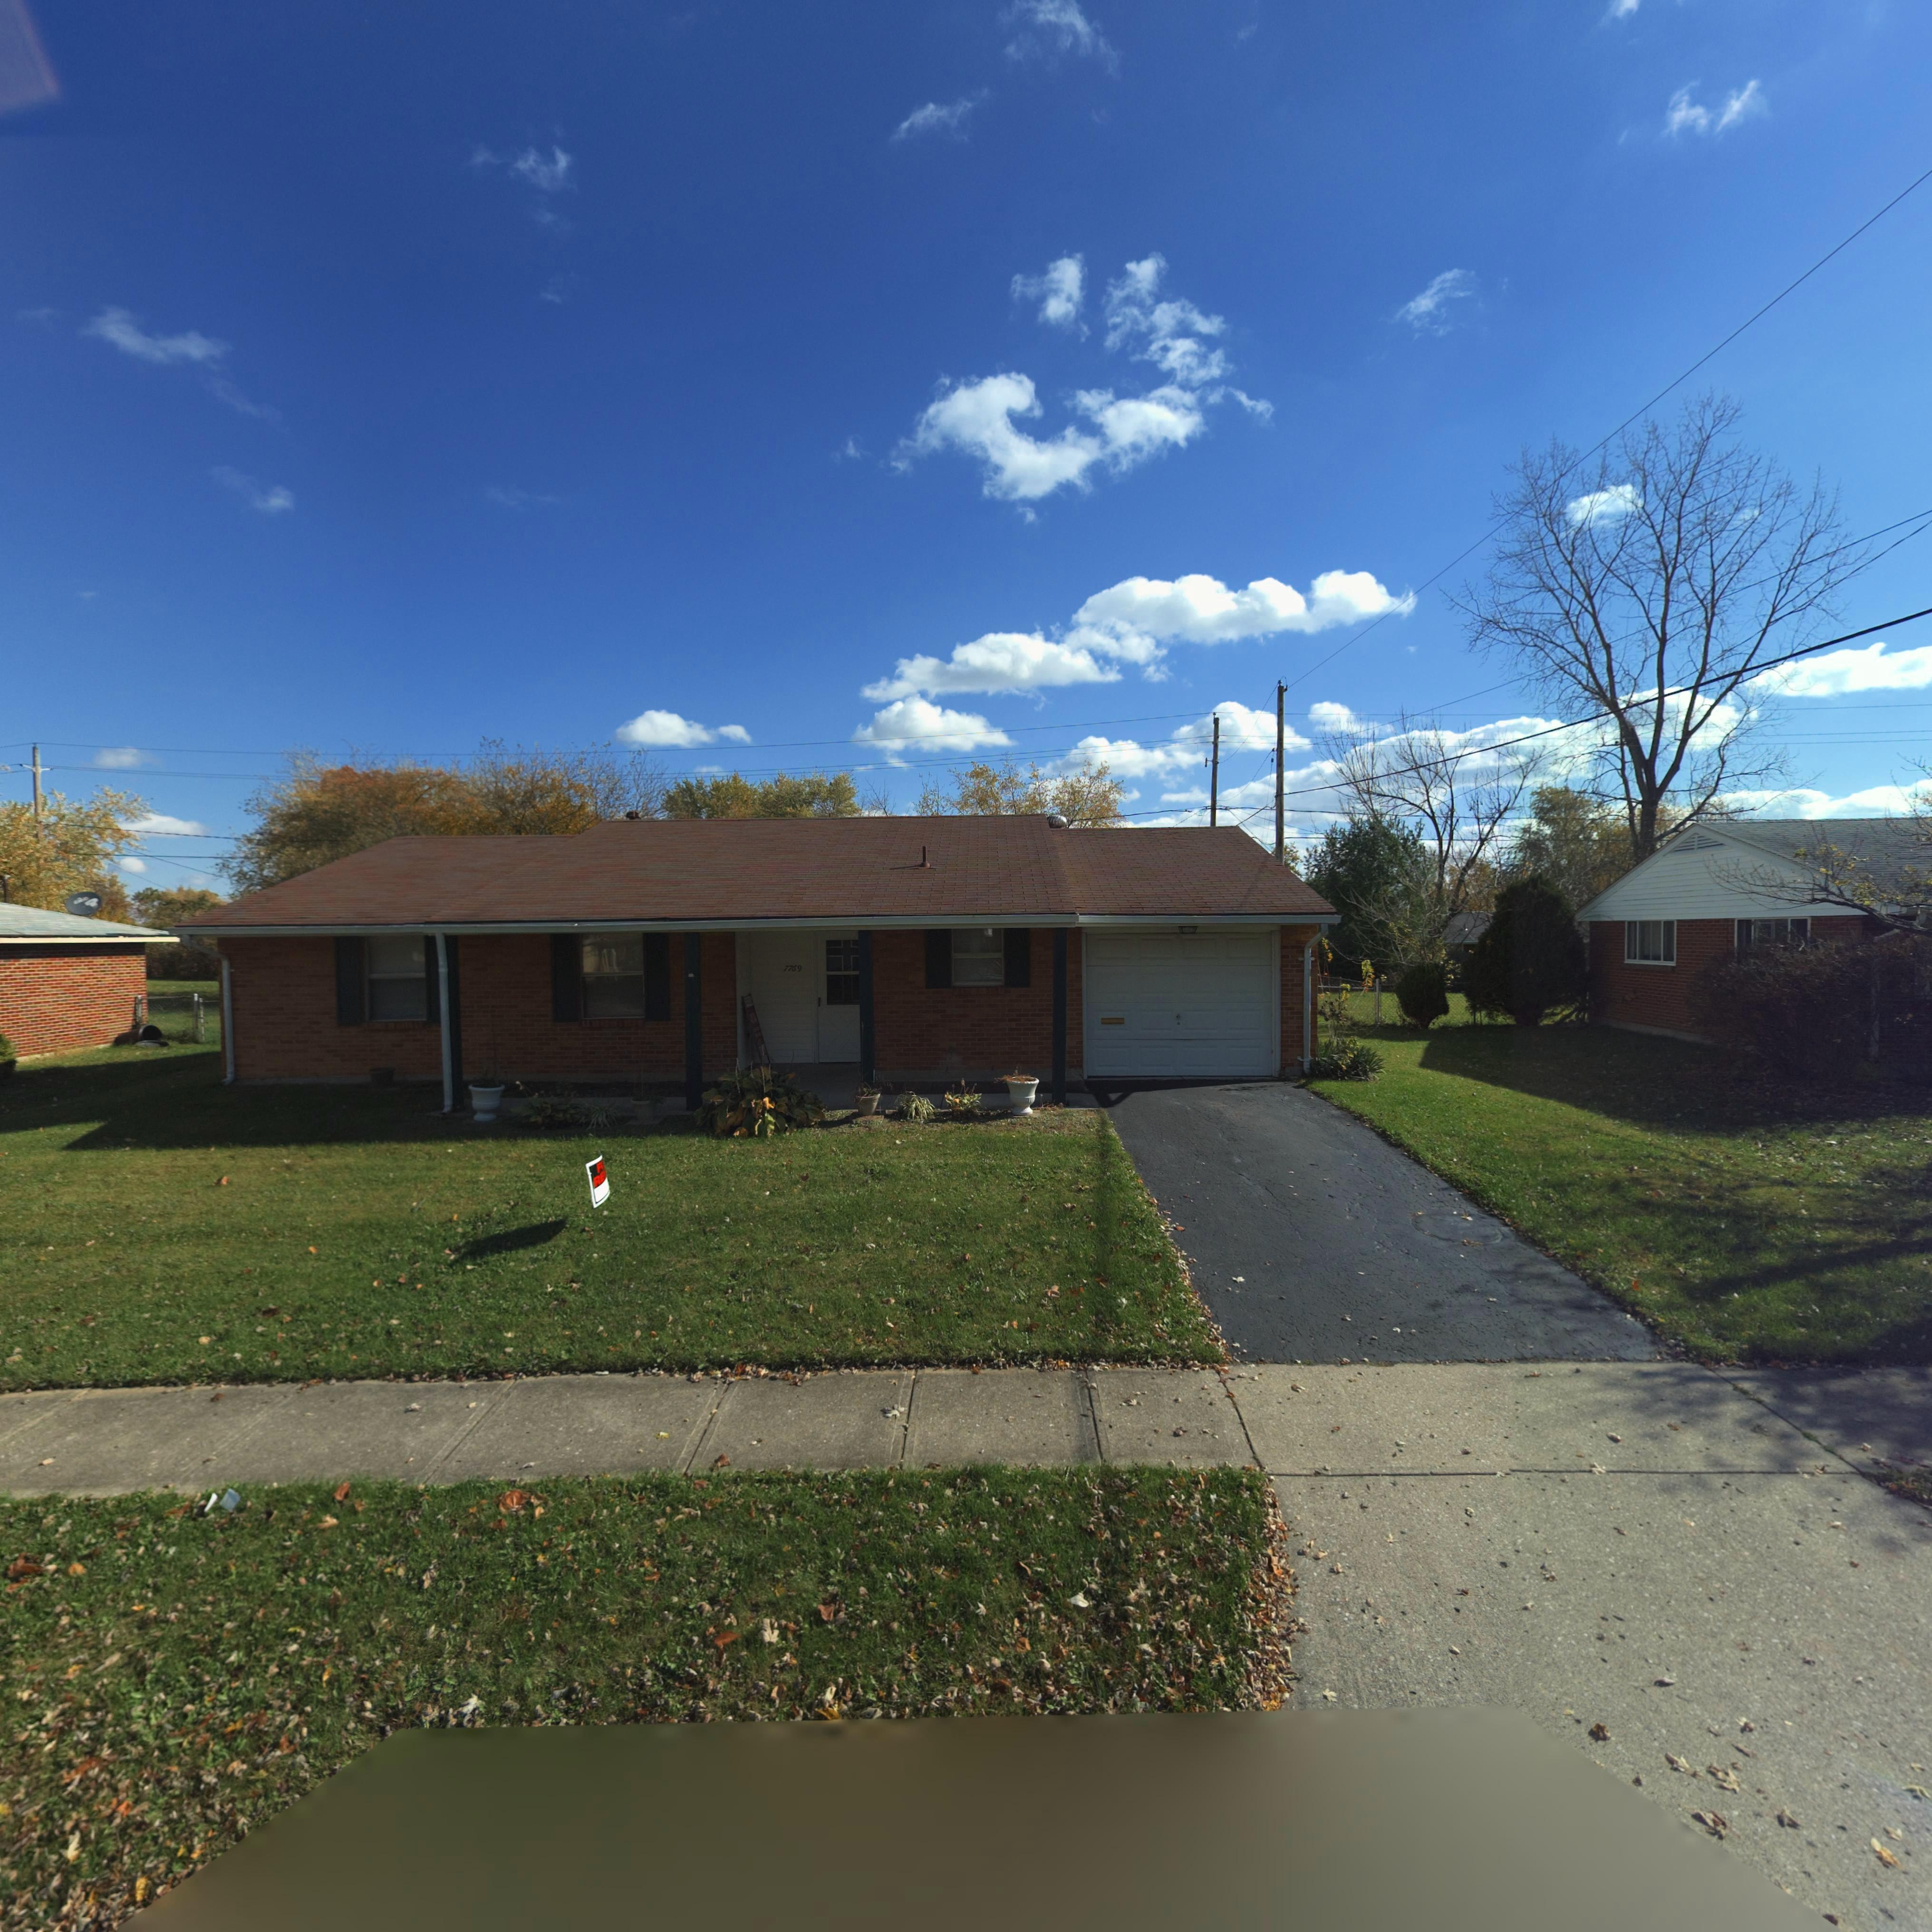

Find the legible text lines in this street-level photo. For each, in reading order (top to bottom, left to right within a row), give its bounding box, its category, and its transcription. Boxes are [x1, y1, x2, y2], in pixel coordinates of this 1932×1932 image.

[782, 964, 803, 973] StreetNumber: 7769